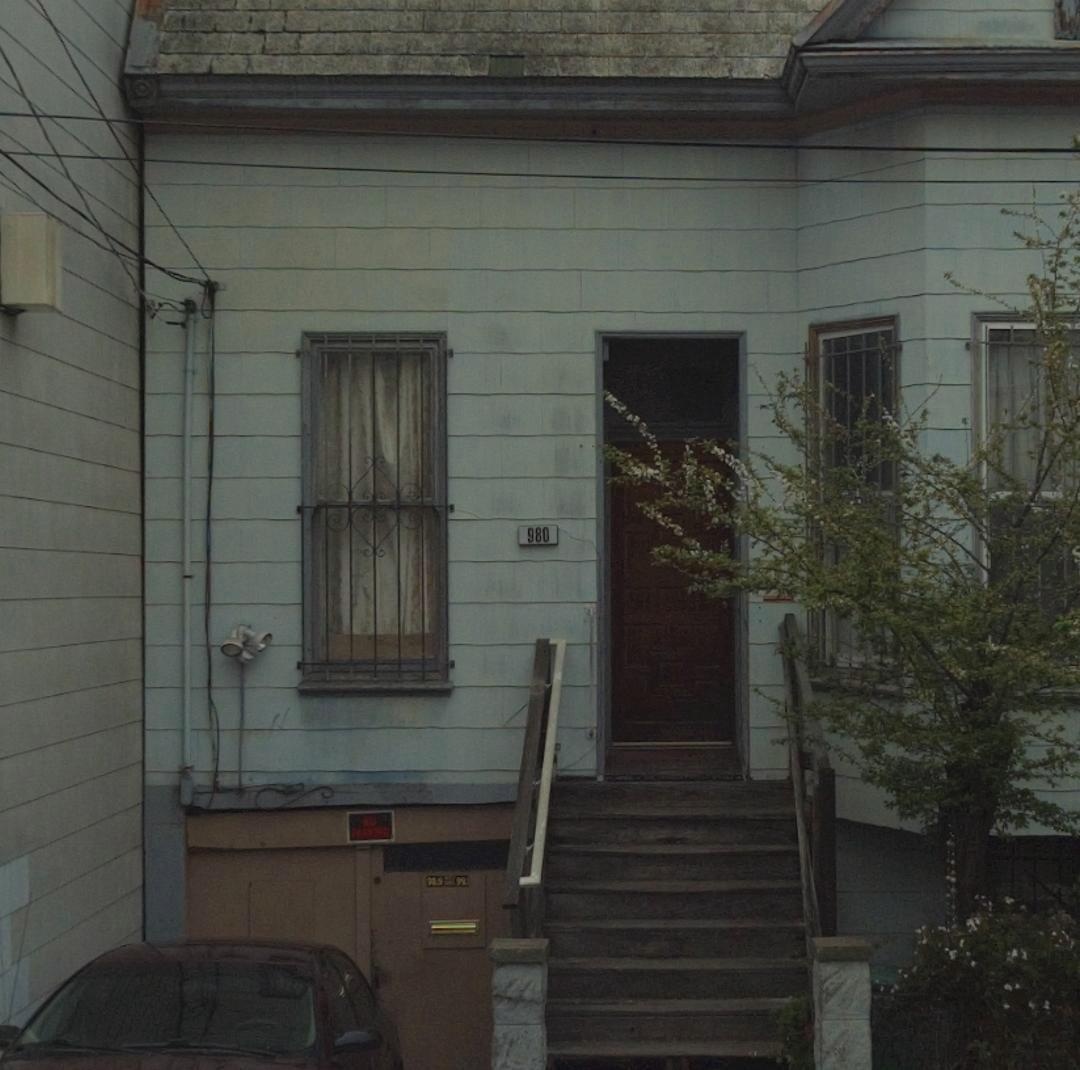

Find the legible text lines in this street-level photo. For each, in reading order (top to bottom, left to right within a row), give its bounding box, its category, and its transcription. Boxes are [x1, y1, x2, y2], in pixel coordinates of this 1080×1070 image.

[526, 526, 551, 544] StreetNumber: 980